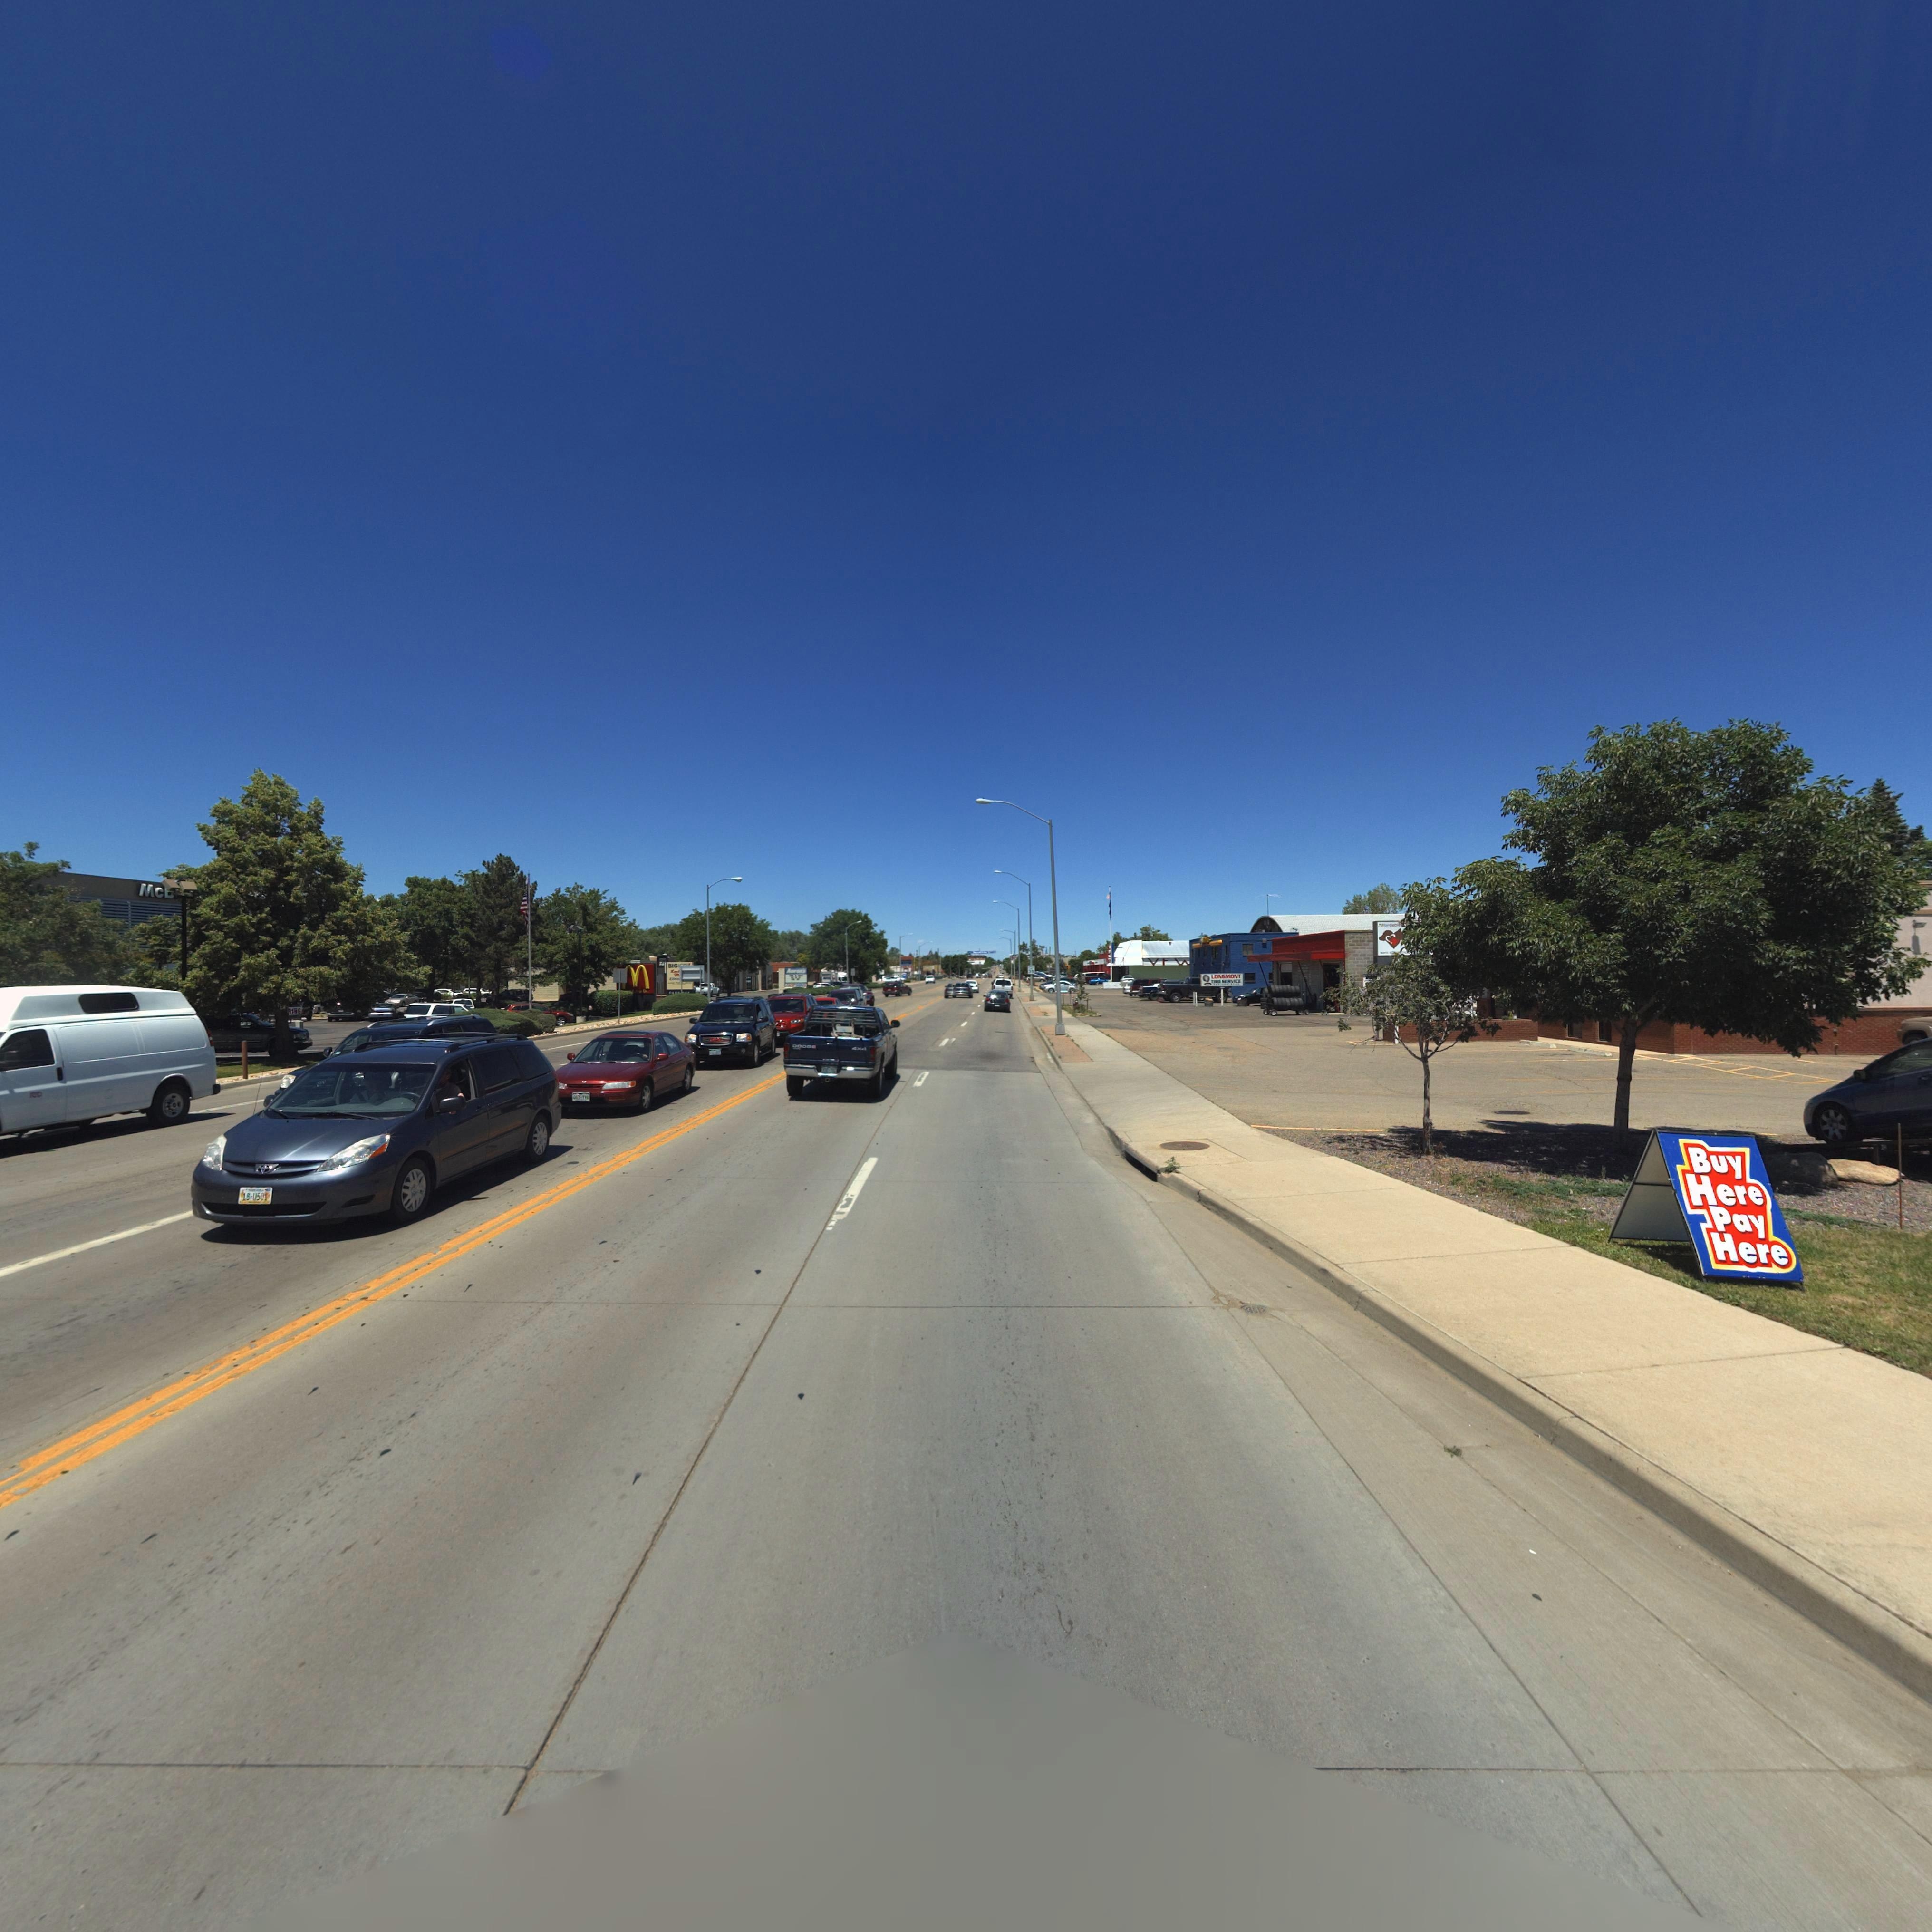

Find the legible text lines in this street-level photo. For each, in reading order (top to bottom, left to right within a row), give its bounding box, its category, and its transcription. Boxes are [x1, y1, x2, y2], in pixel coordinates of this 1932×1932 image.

[138, 882, 222, 903] BusinessName: Mc********
[1377, 921, 1447, 927] BusinessName: A**or**bl* *** ****** ********
[668, 963, 691, 968] BusinessName: BIG*****
[670, 969, 679, 973] BusinessName: *u**
[785, 968, 806, 974] BusinessName: Aaron's
[673, 973, 680, 976] BusinessName: M
[1211, 974, 1241, 978] BusinessName: LONGMONT
[1210, 979, 1241, 983] BusinessName: TIRE SERVICE